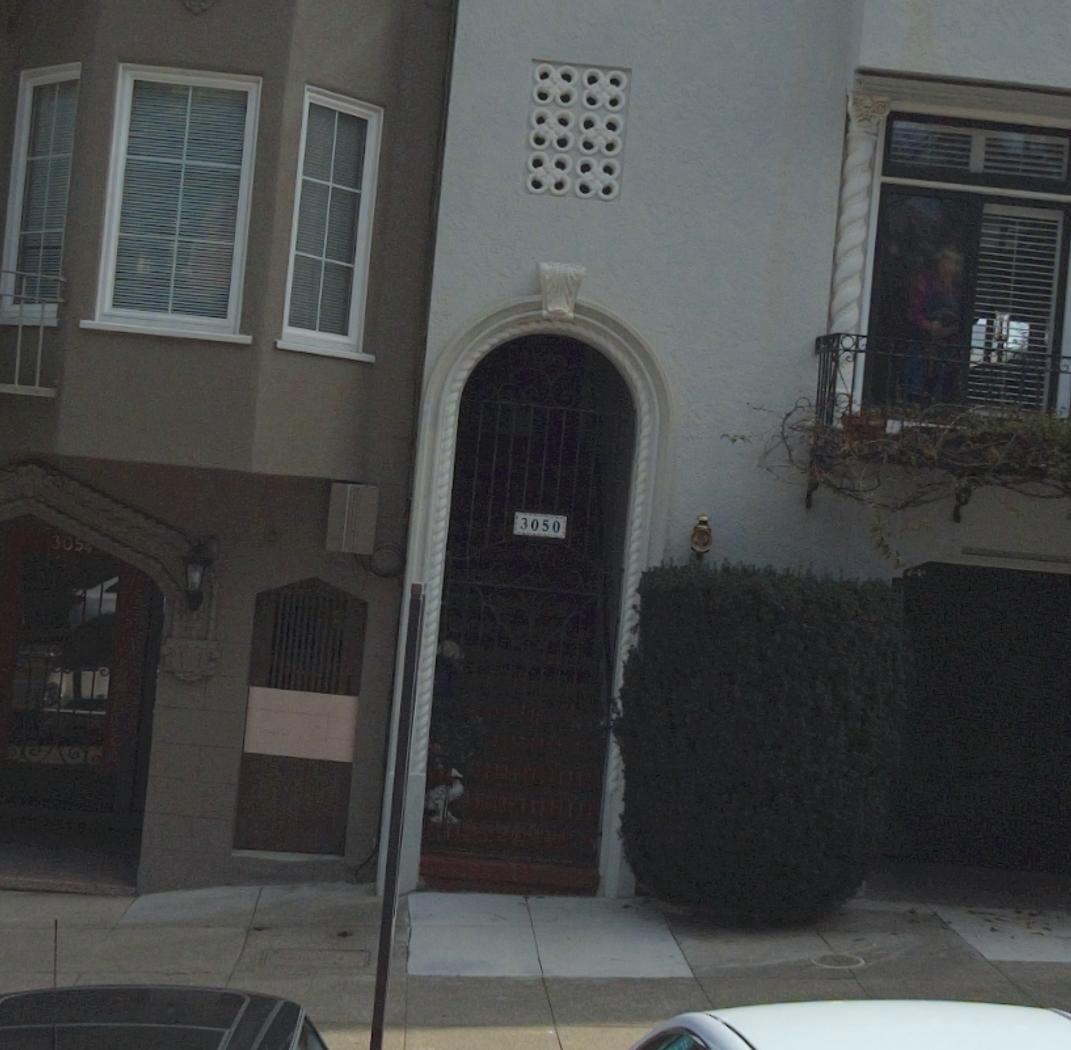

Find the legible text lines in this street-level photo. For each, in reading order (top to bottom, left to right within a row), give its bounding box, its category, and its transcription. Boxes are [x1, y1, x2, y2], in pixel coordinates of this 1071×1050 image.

[517, 516, 562, 535] StreetNumber: 3050
[48, 532, 85, 554] StreetNumber: 305